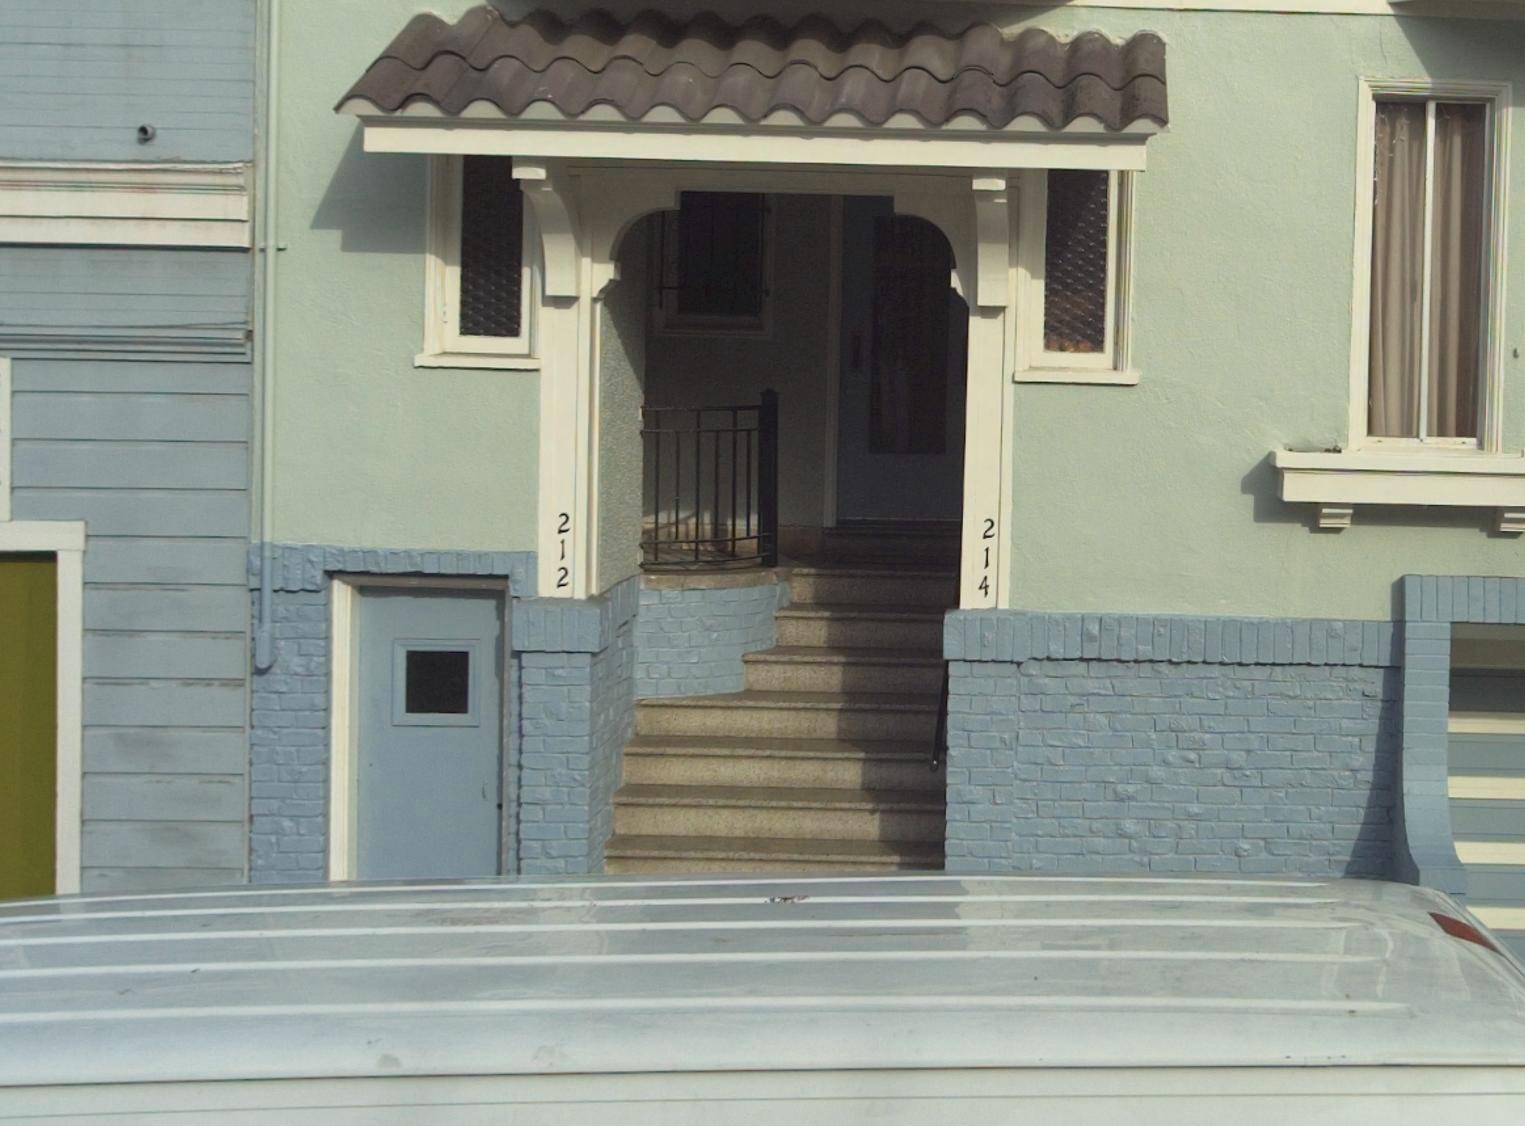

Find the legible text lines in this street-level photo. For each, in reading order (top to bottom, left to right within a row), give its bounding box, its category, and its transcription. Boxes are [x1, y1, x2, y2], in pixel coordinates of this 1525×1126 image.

[555, 511, 572, 590] StreetNumber: 212
[977, 517, 997, 598] StreetNumber: 214